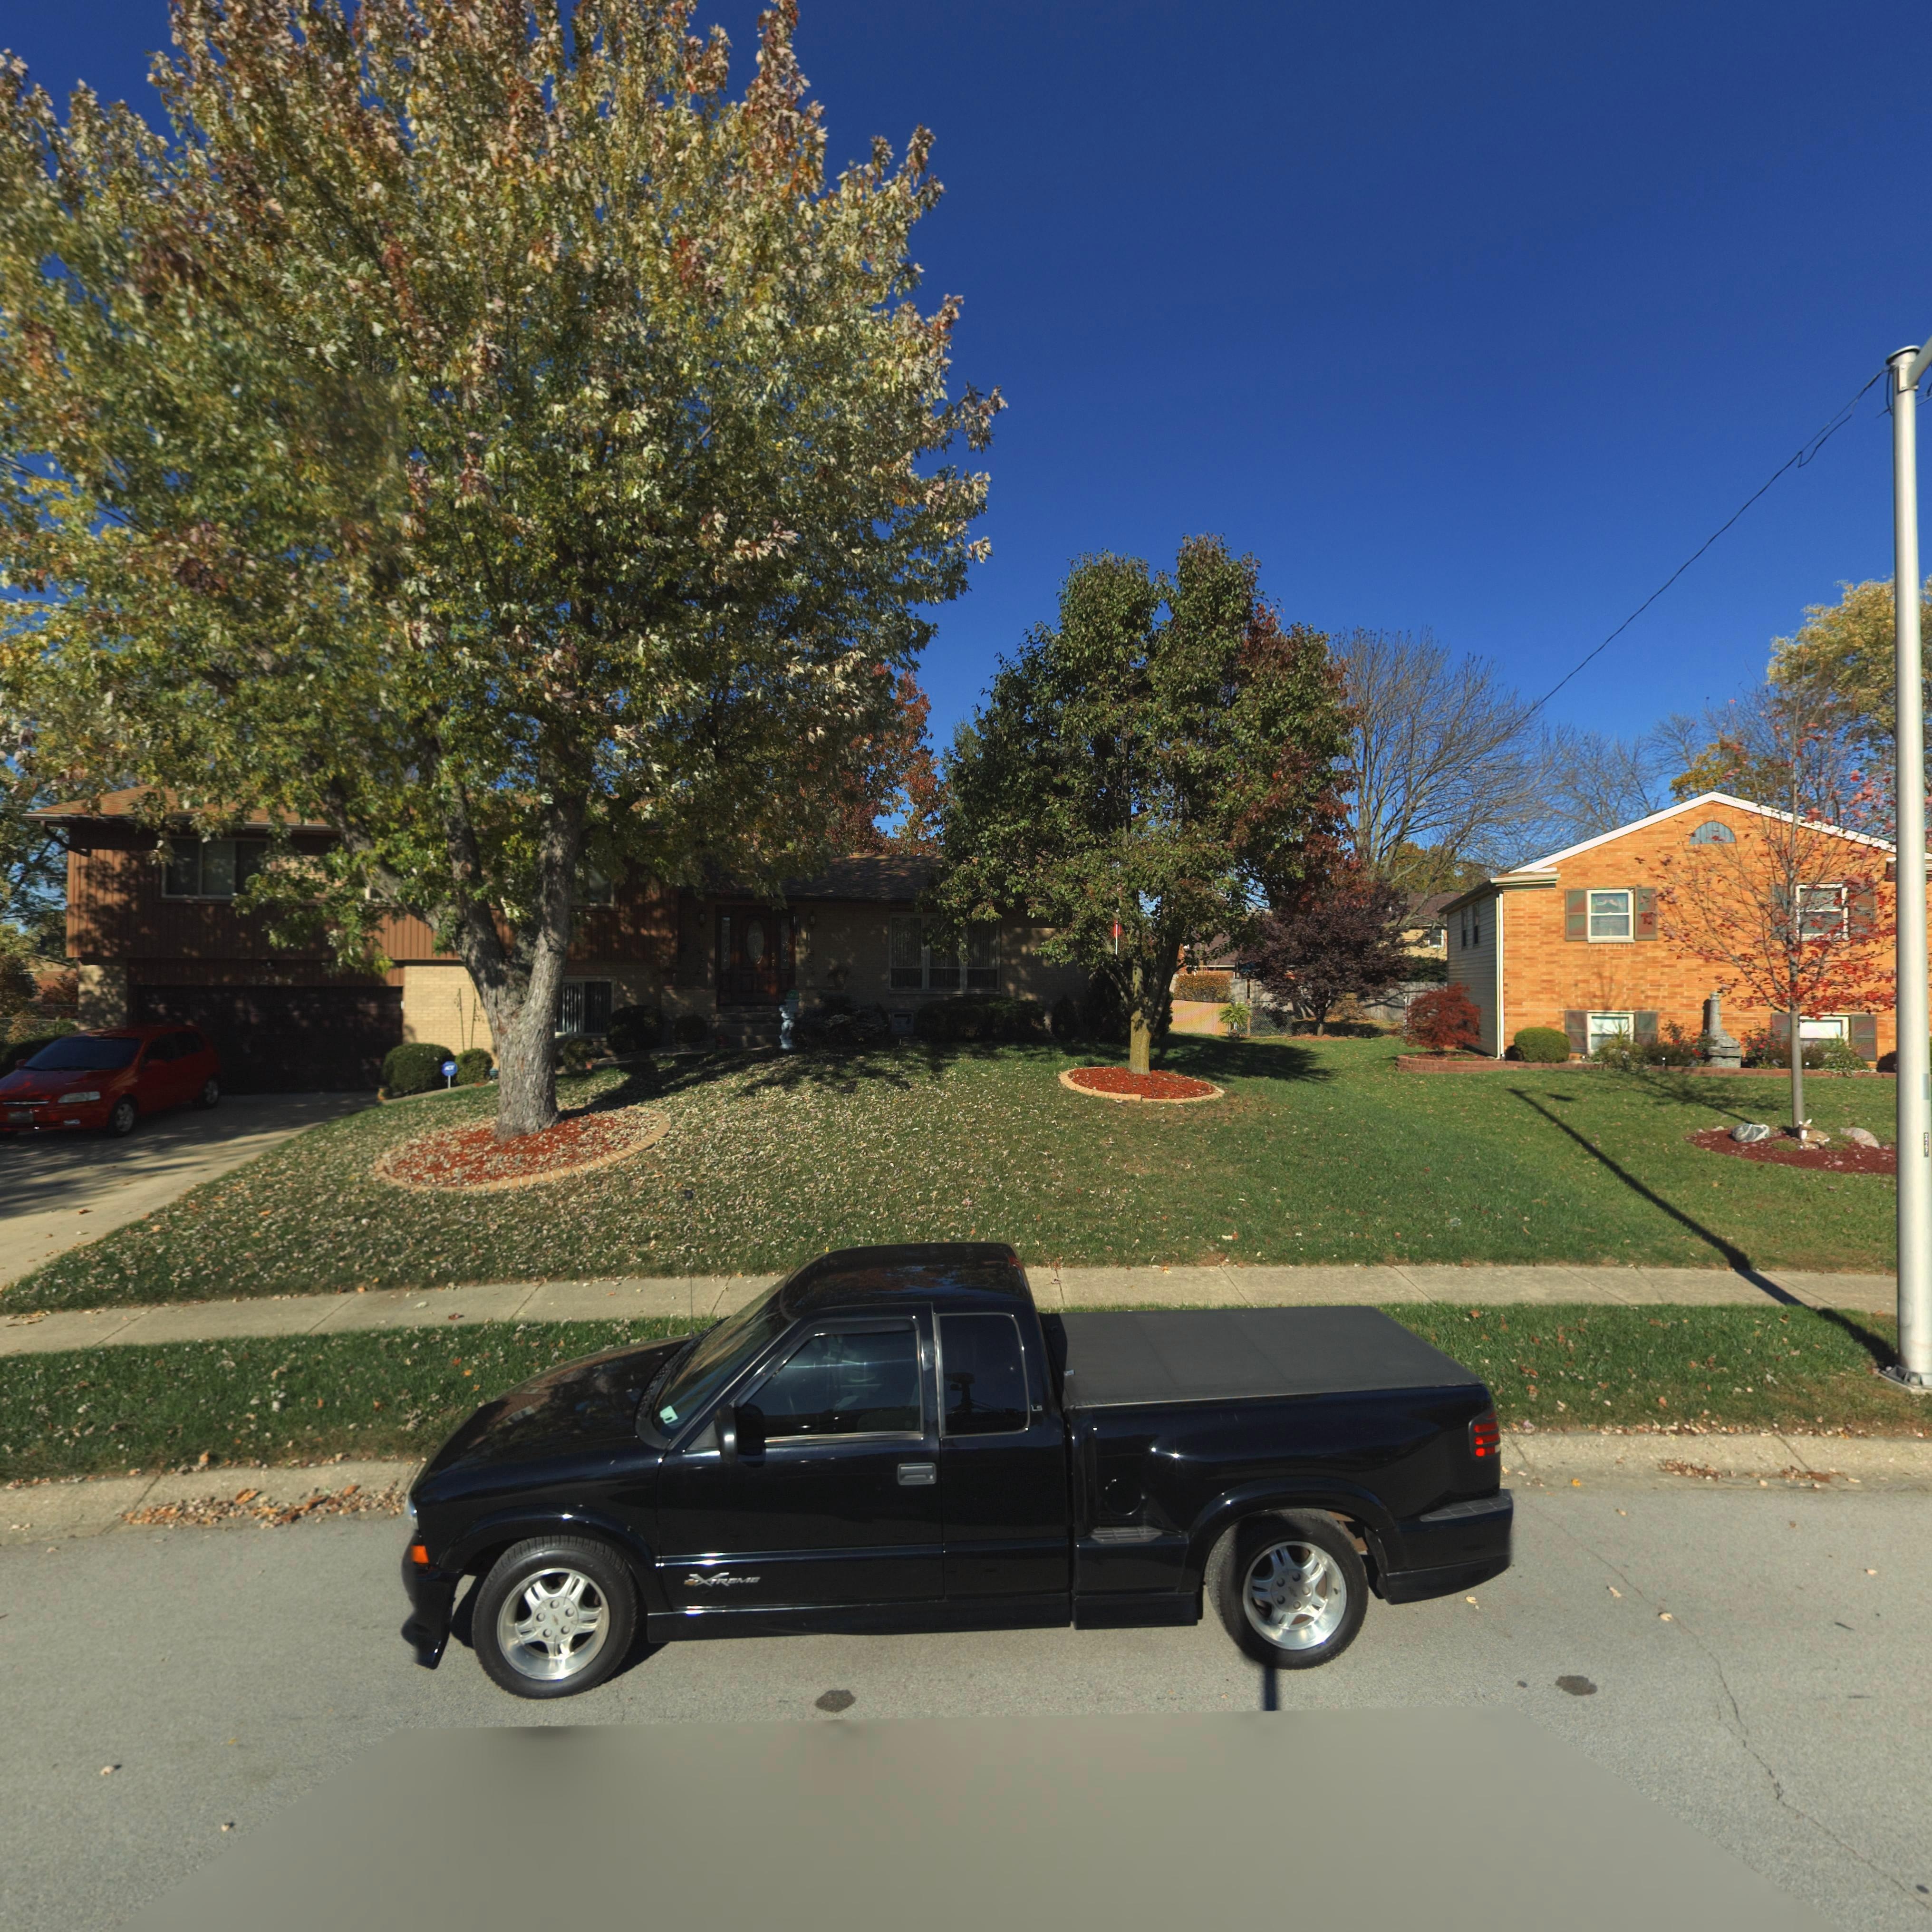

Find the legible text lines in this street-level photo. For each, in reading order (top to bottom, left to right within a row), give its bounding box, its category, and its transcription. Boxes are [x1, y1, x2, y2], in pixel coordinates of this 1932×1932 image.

[246, 973, 294, 987] StreetNumber: 424*
[1031, 1404, 1043, 1412] None: LS
[707, 1576, 762, 1585] None: TREME